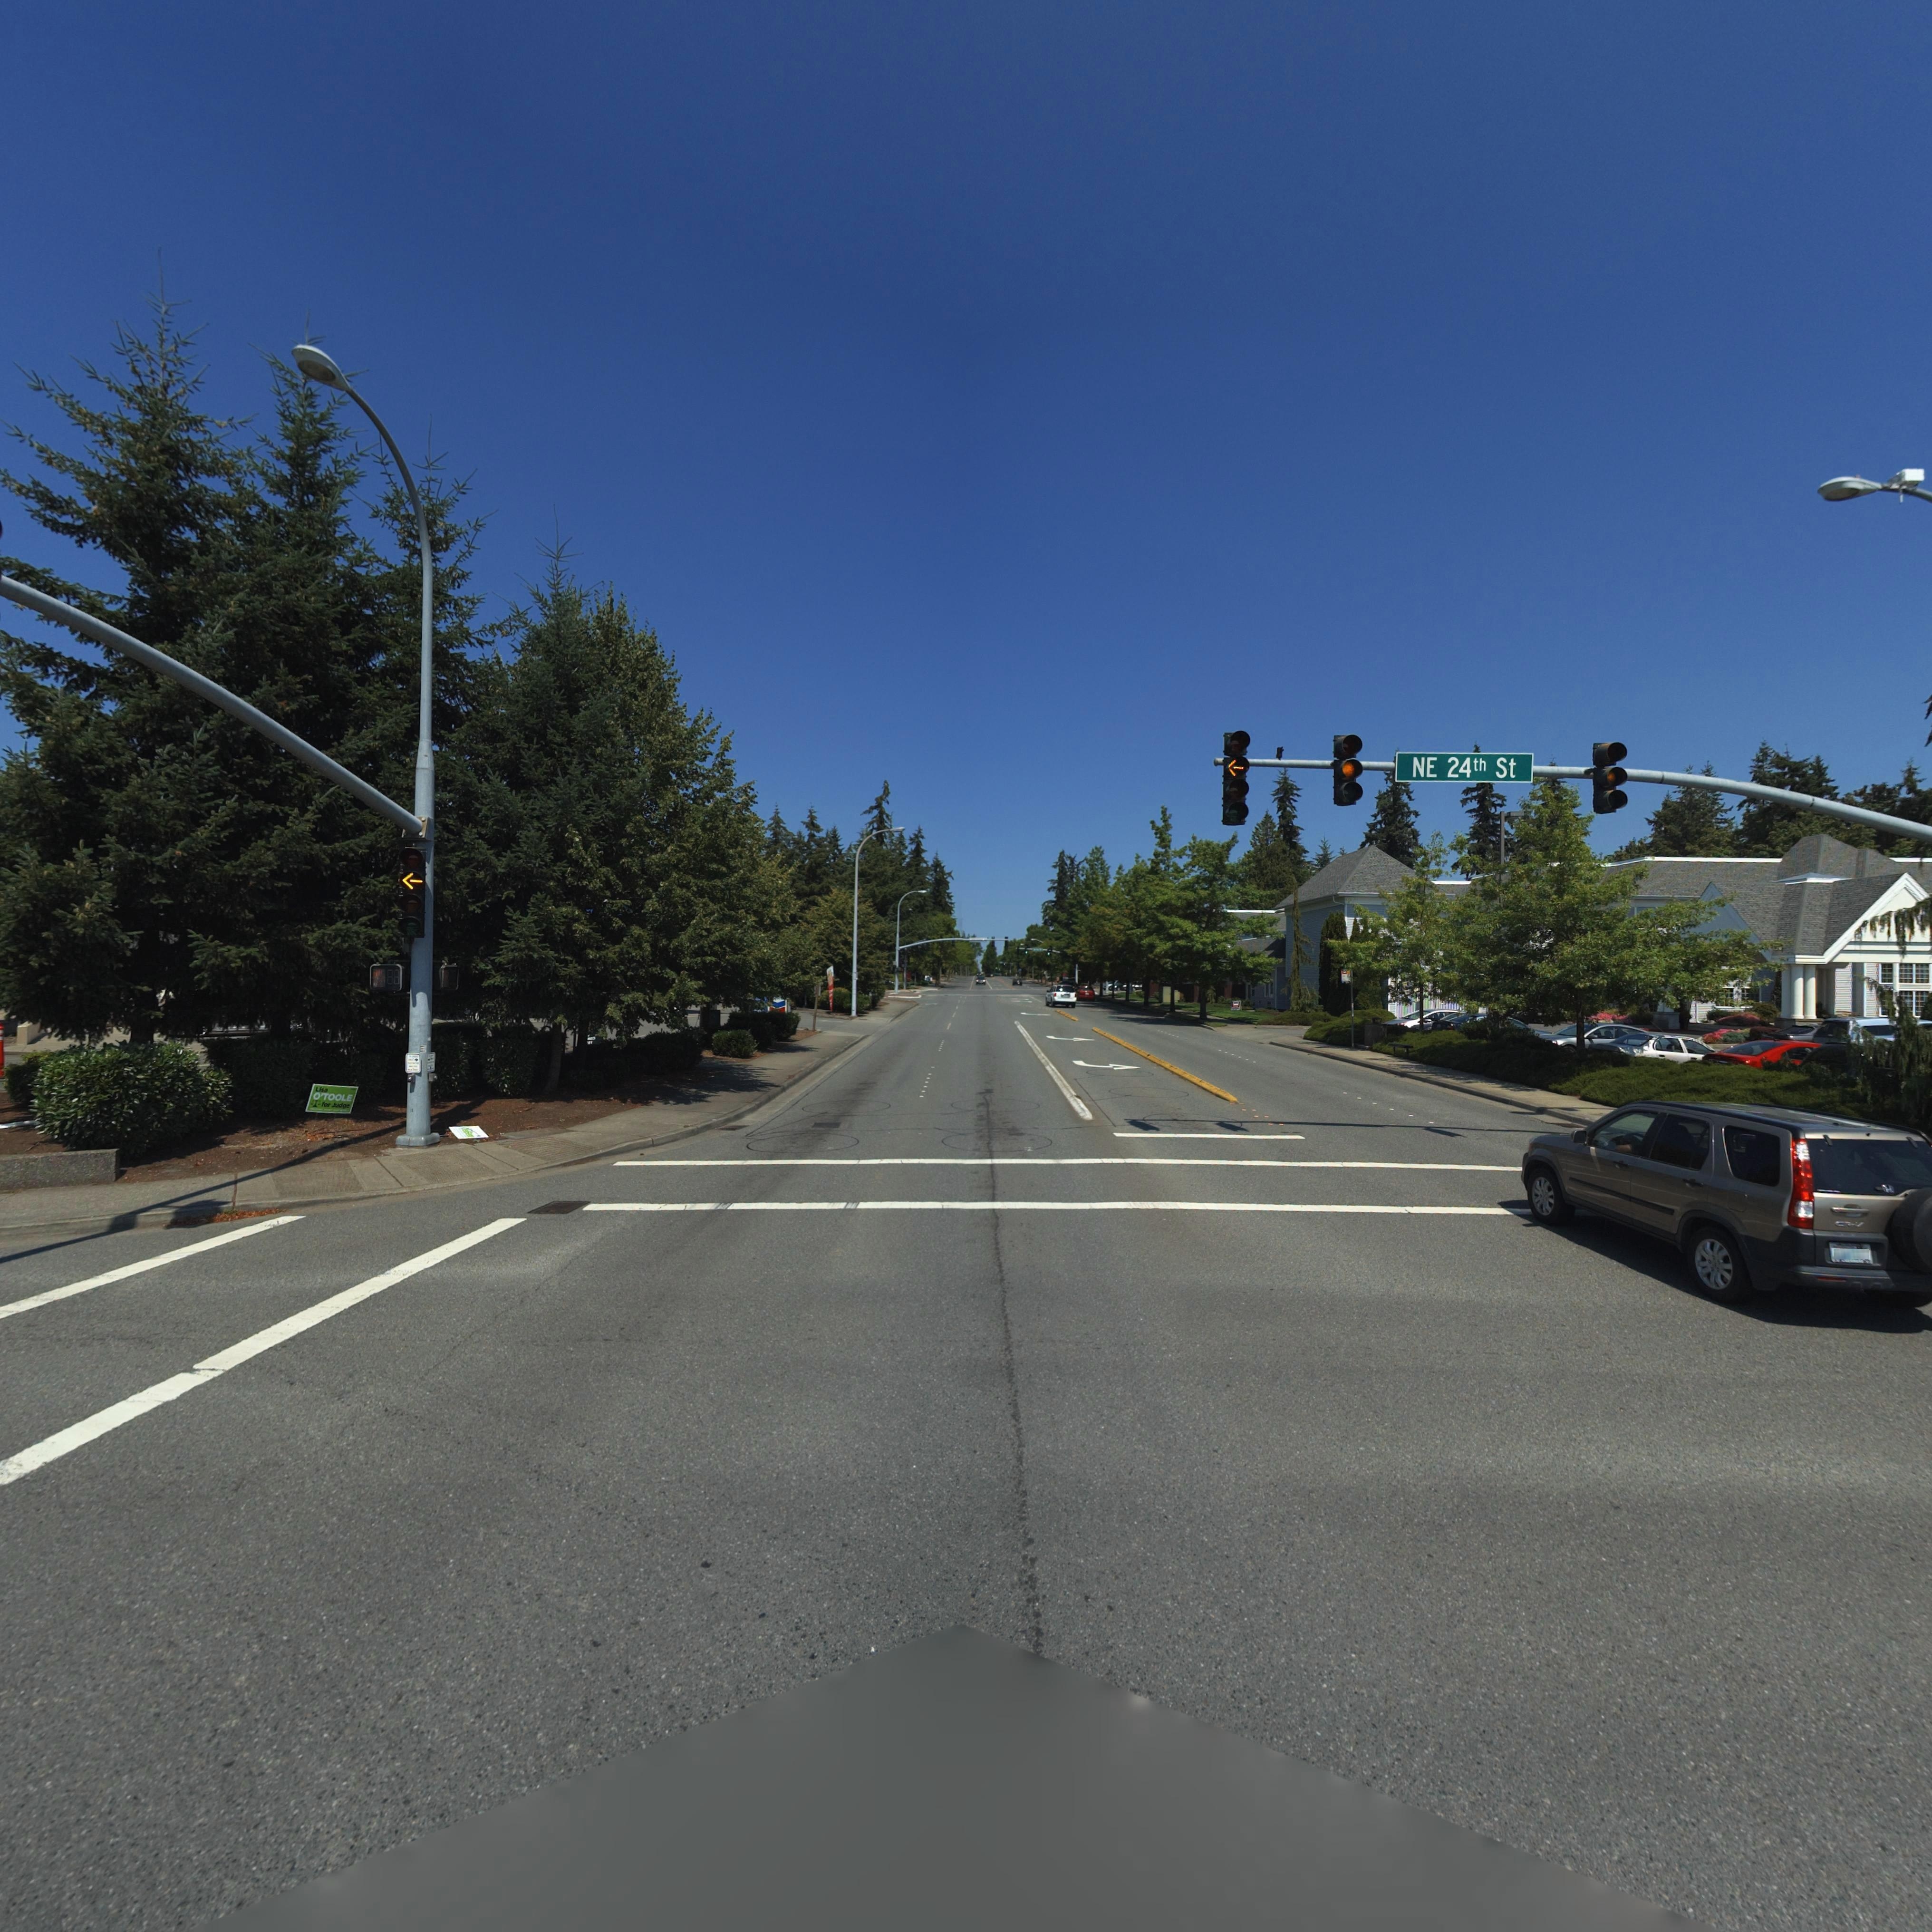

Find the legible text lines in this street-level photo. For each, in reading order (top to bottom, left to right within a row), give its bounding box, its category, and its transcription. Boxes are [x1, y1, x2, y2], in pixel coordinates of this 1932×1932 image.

[1411, 756, 1517, 778] StreetName: NE 24th St